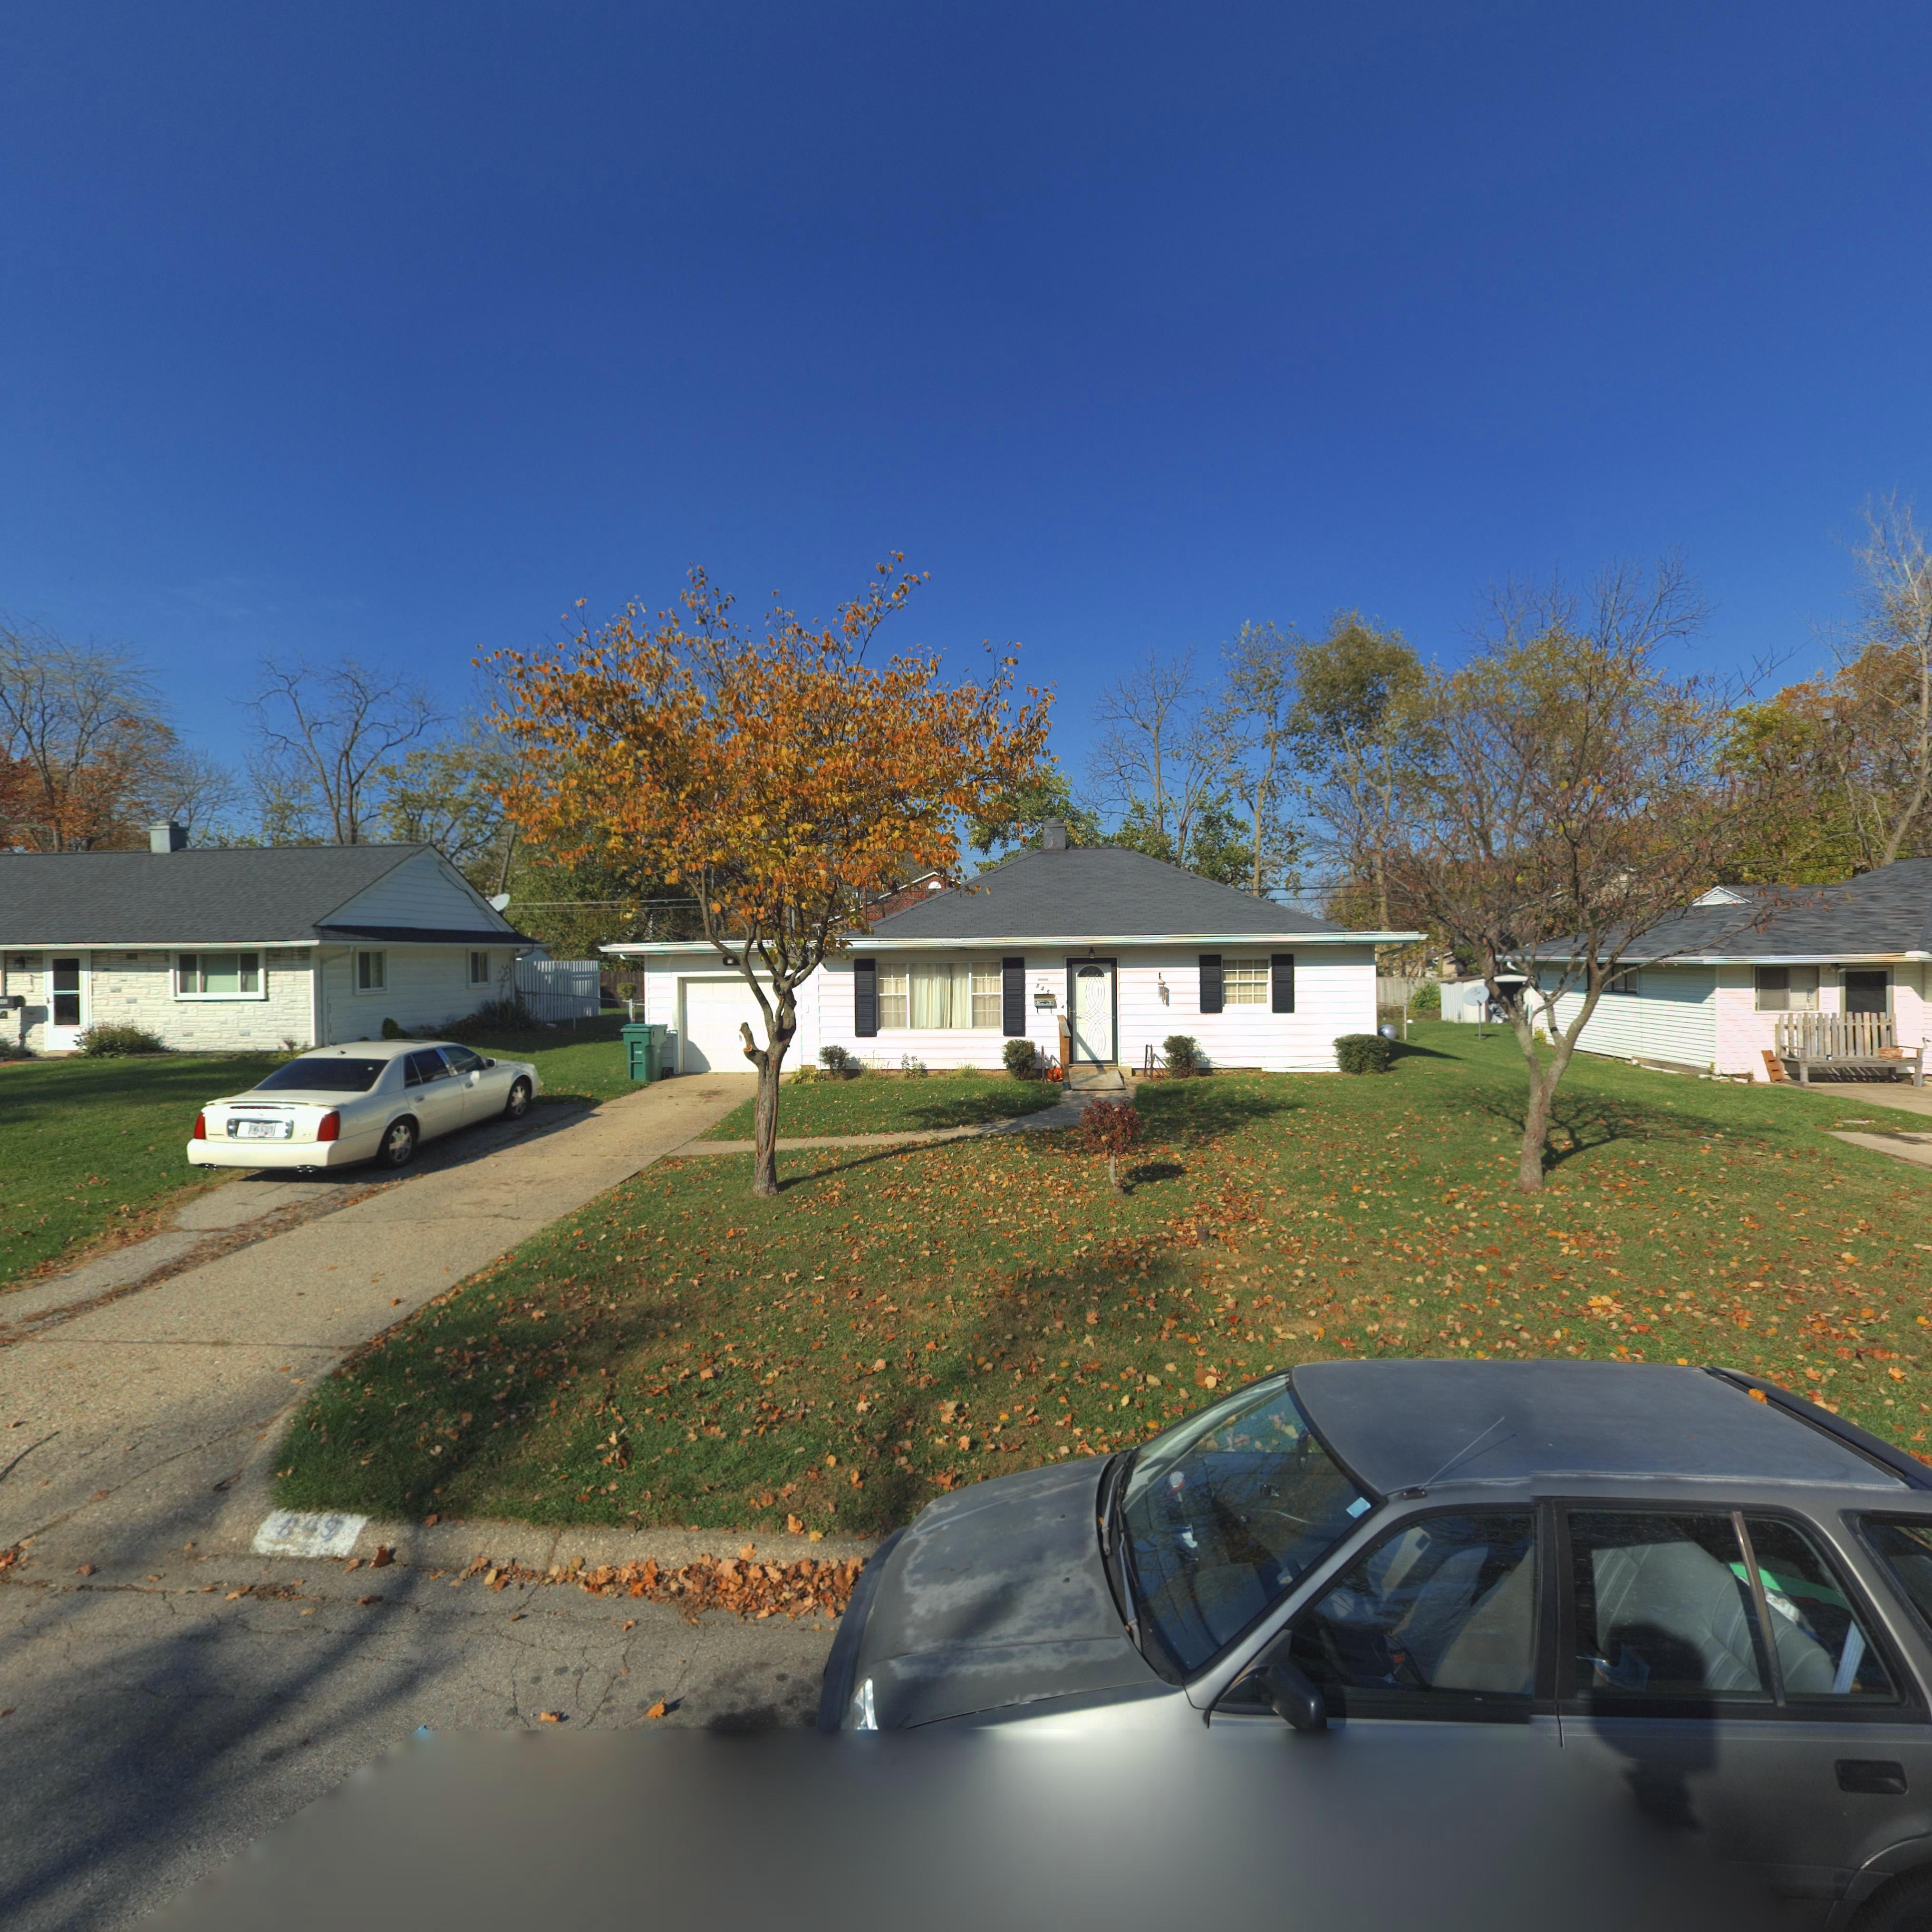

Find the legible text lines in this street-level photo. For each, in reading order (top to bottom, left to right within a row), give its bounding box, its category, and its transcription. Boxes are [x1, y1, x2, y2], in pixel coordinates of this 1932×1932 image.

[1035, 983, 1051, 995] StreetNumber: 849
[249, 1125, 274, 1134] None: FWG*6319
[272, 1515, 340, 1540] StreetNumber: 849